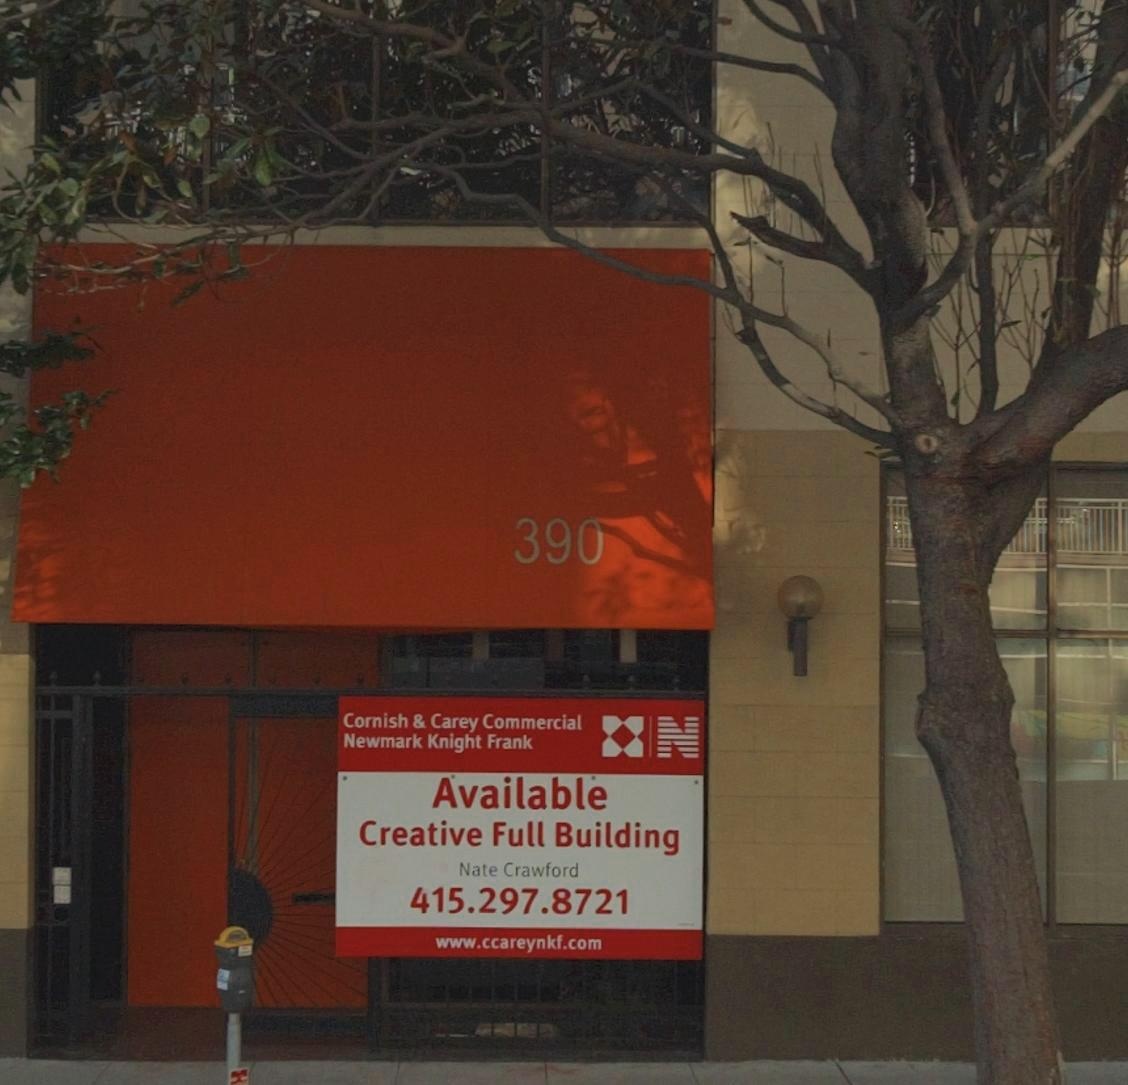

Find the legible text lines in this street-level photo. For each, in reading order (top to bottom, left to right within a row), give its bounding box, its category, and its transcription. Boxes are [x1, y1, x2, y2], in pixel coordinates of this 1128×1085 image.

[511, 514, 608, 567] StreetNumber: 390
[342, 709, 582, 732] BusinessName: Cornish & Carey Commercial
[342, 731, 535, 754] BusinessName: Newmark Knight Frank
[655, 713, 702, 764] None: N
[430, 775, 614, 811] None: Available
[358, 819, 681, 857] None: Creative Full Building
[459, 861, 579, 879] None: Nate Crawford
[408, 886, 629, 916] None: 415.297.8721
[433, 933, 604, 955] None: www.ccareyknkf.com